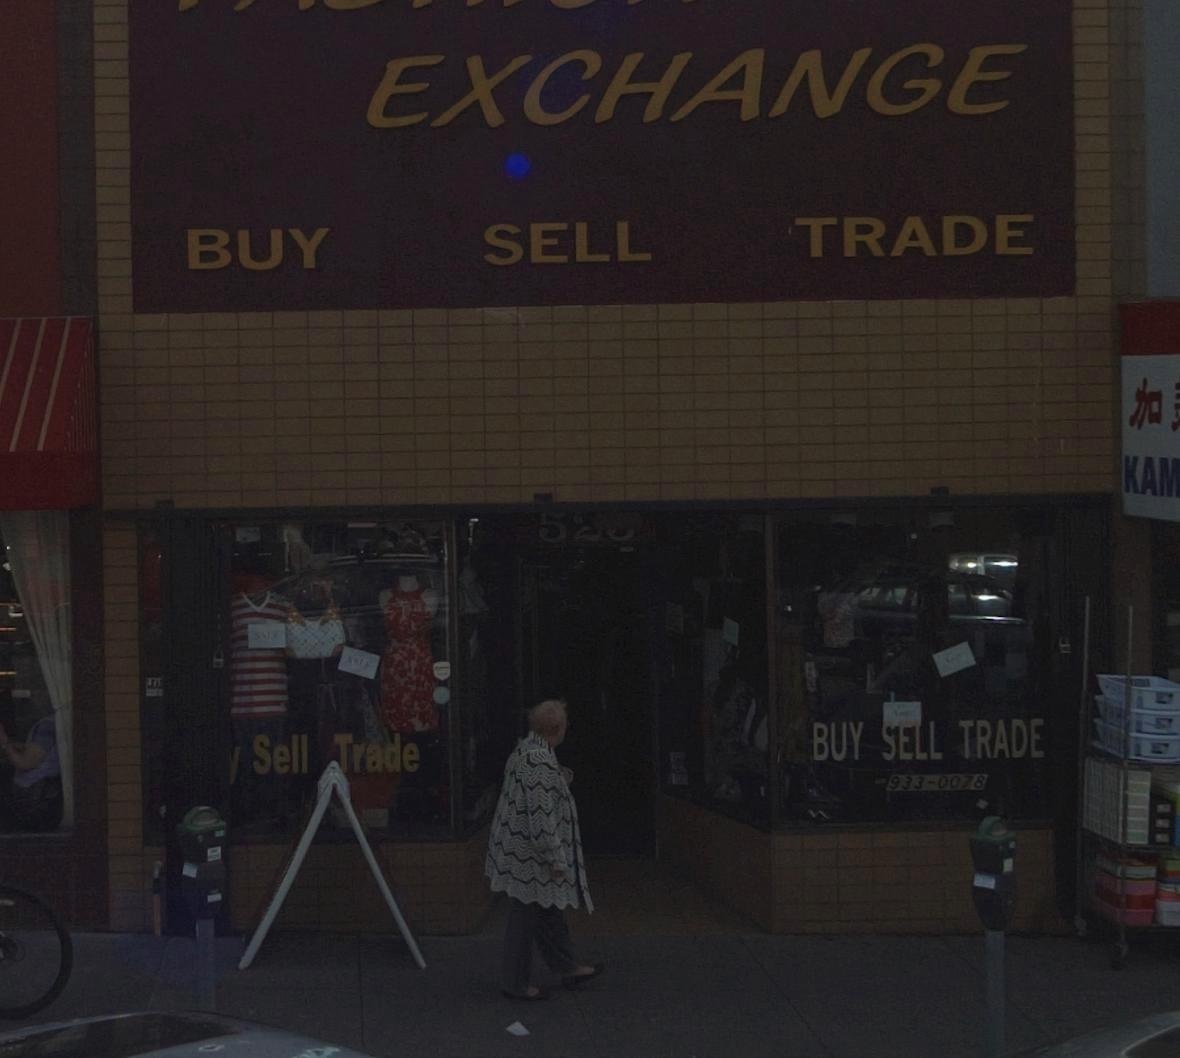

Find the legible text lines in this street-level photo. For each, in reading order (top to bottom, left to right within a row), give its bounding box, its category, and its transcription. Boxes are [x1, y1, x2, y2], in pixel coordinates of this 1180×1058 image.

[359, 41, 1032, 130] BusinessName: EXCHANGE
[184, 225, 334, 272] None: BUY
[479, 219, 654, 268] None: SELL
[792, 212, 1036, 259] None: TRADE
[1123, 454, 1179, 499] BusinessName: KAM
[537, 511, 635, 544] StreetNumber: 5**
[251, 732, 310, 776] None: Sell
[331, 731, 421, 776] None: Trade
[811, 718, 1045, 762] None: BUY SELL TRADE
[887, 774, 988, 790] None: 933-0078